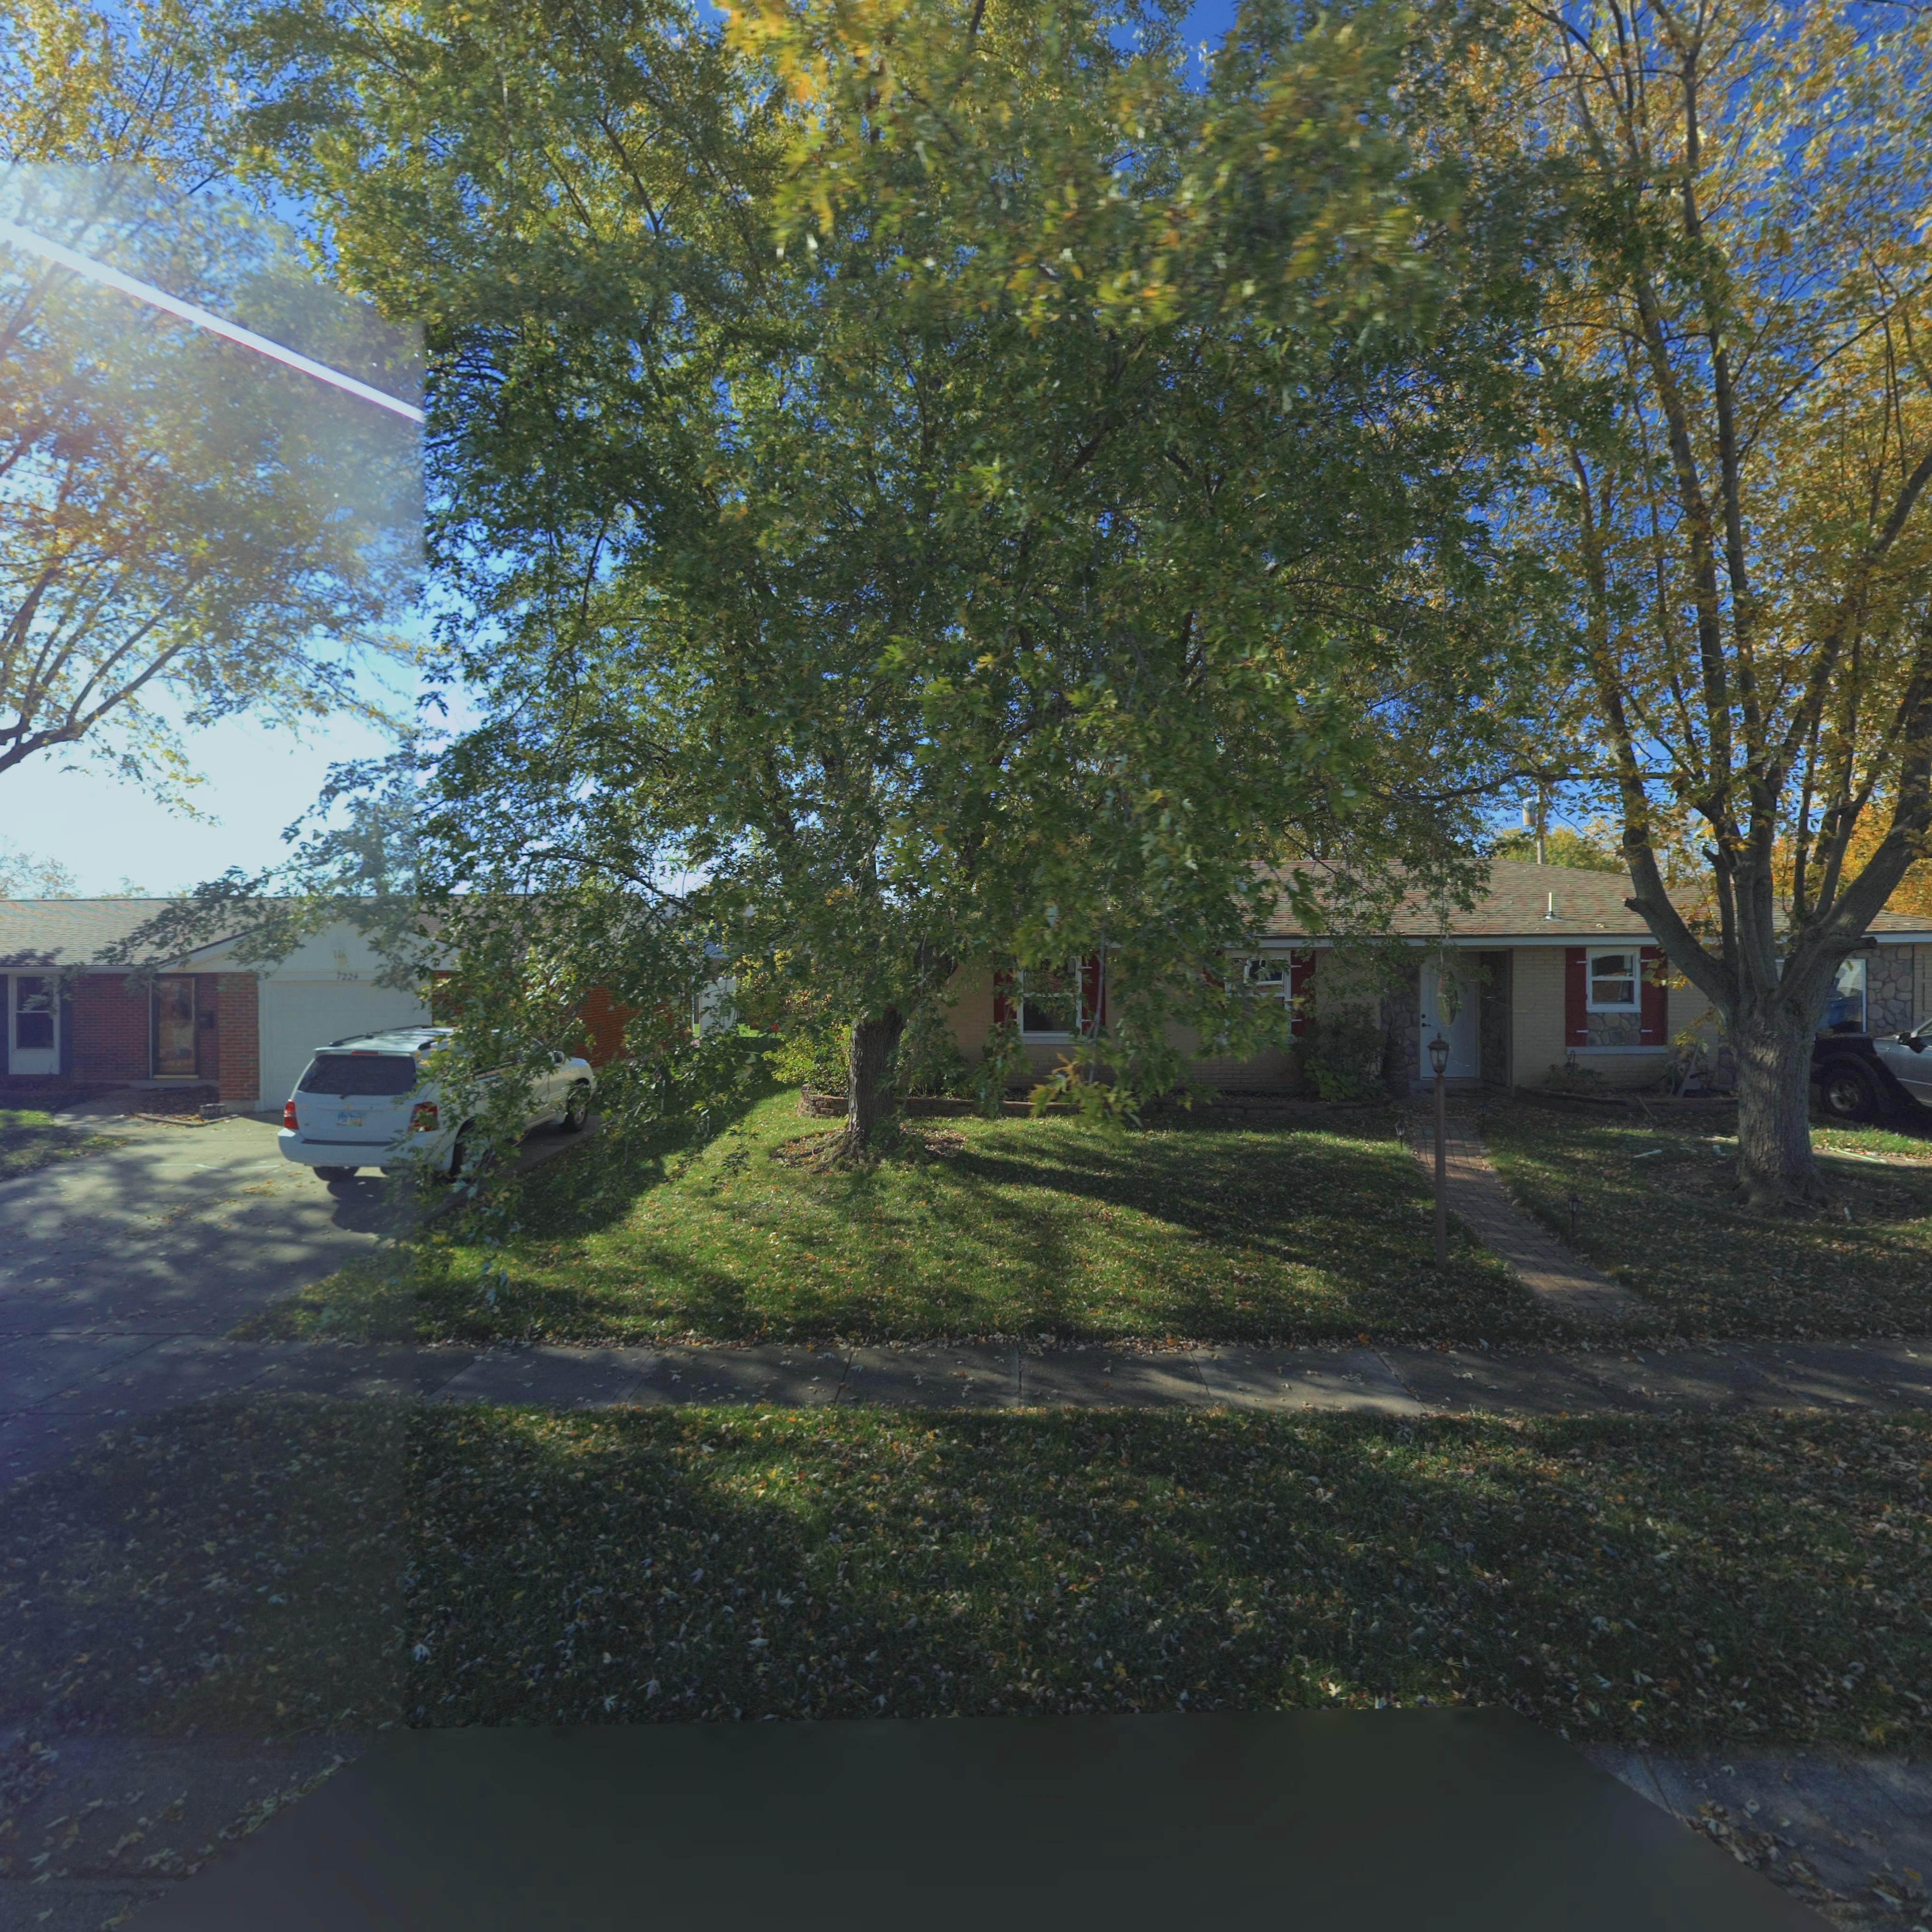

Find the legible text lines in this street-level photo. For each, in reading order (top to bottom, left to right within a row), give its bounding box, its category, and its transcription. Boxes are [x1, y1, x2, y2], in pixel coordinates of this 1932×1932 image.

[335, 972, 359, 981] StreetNumber: 7224